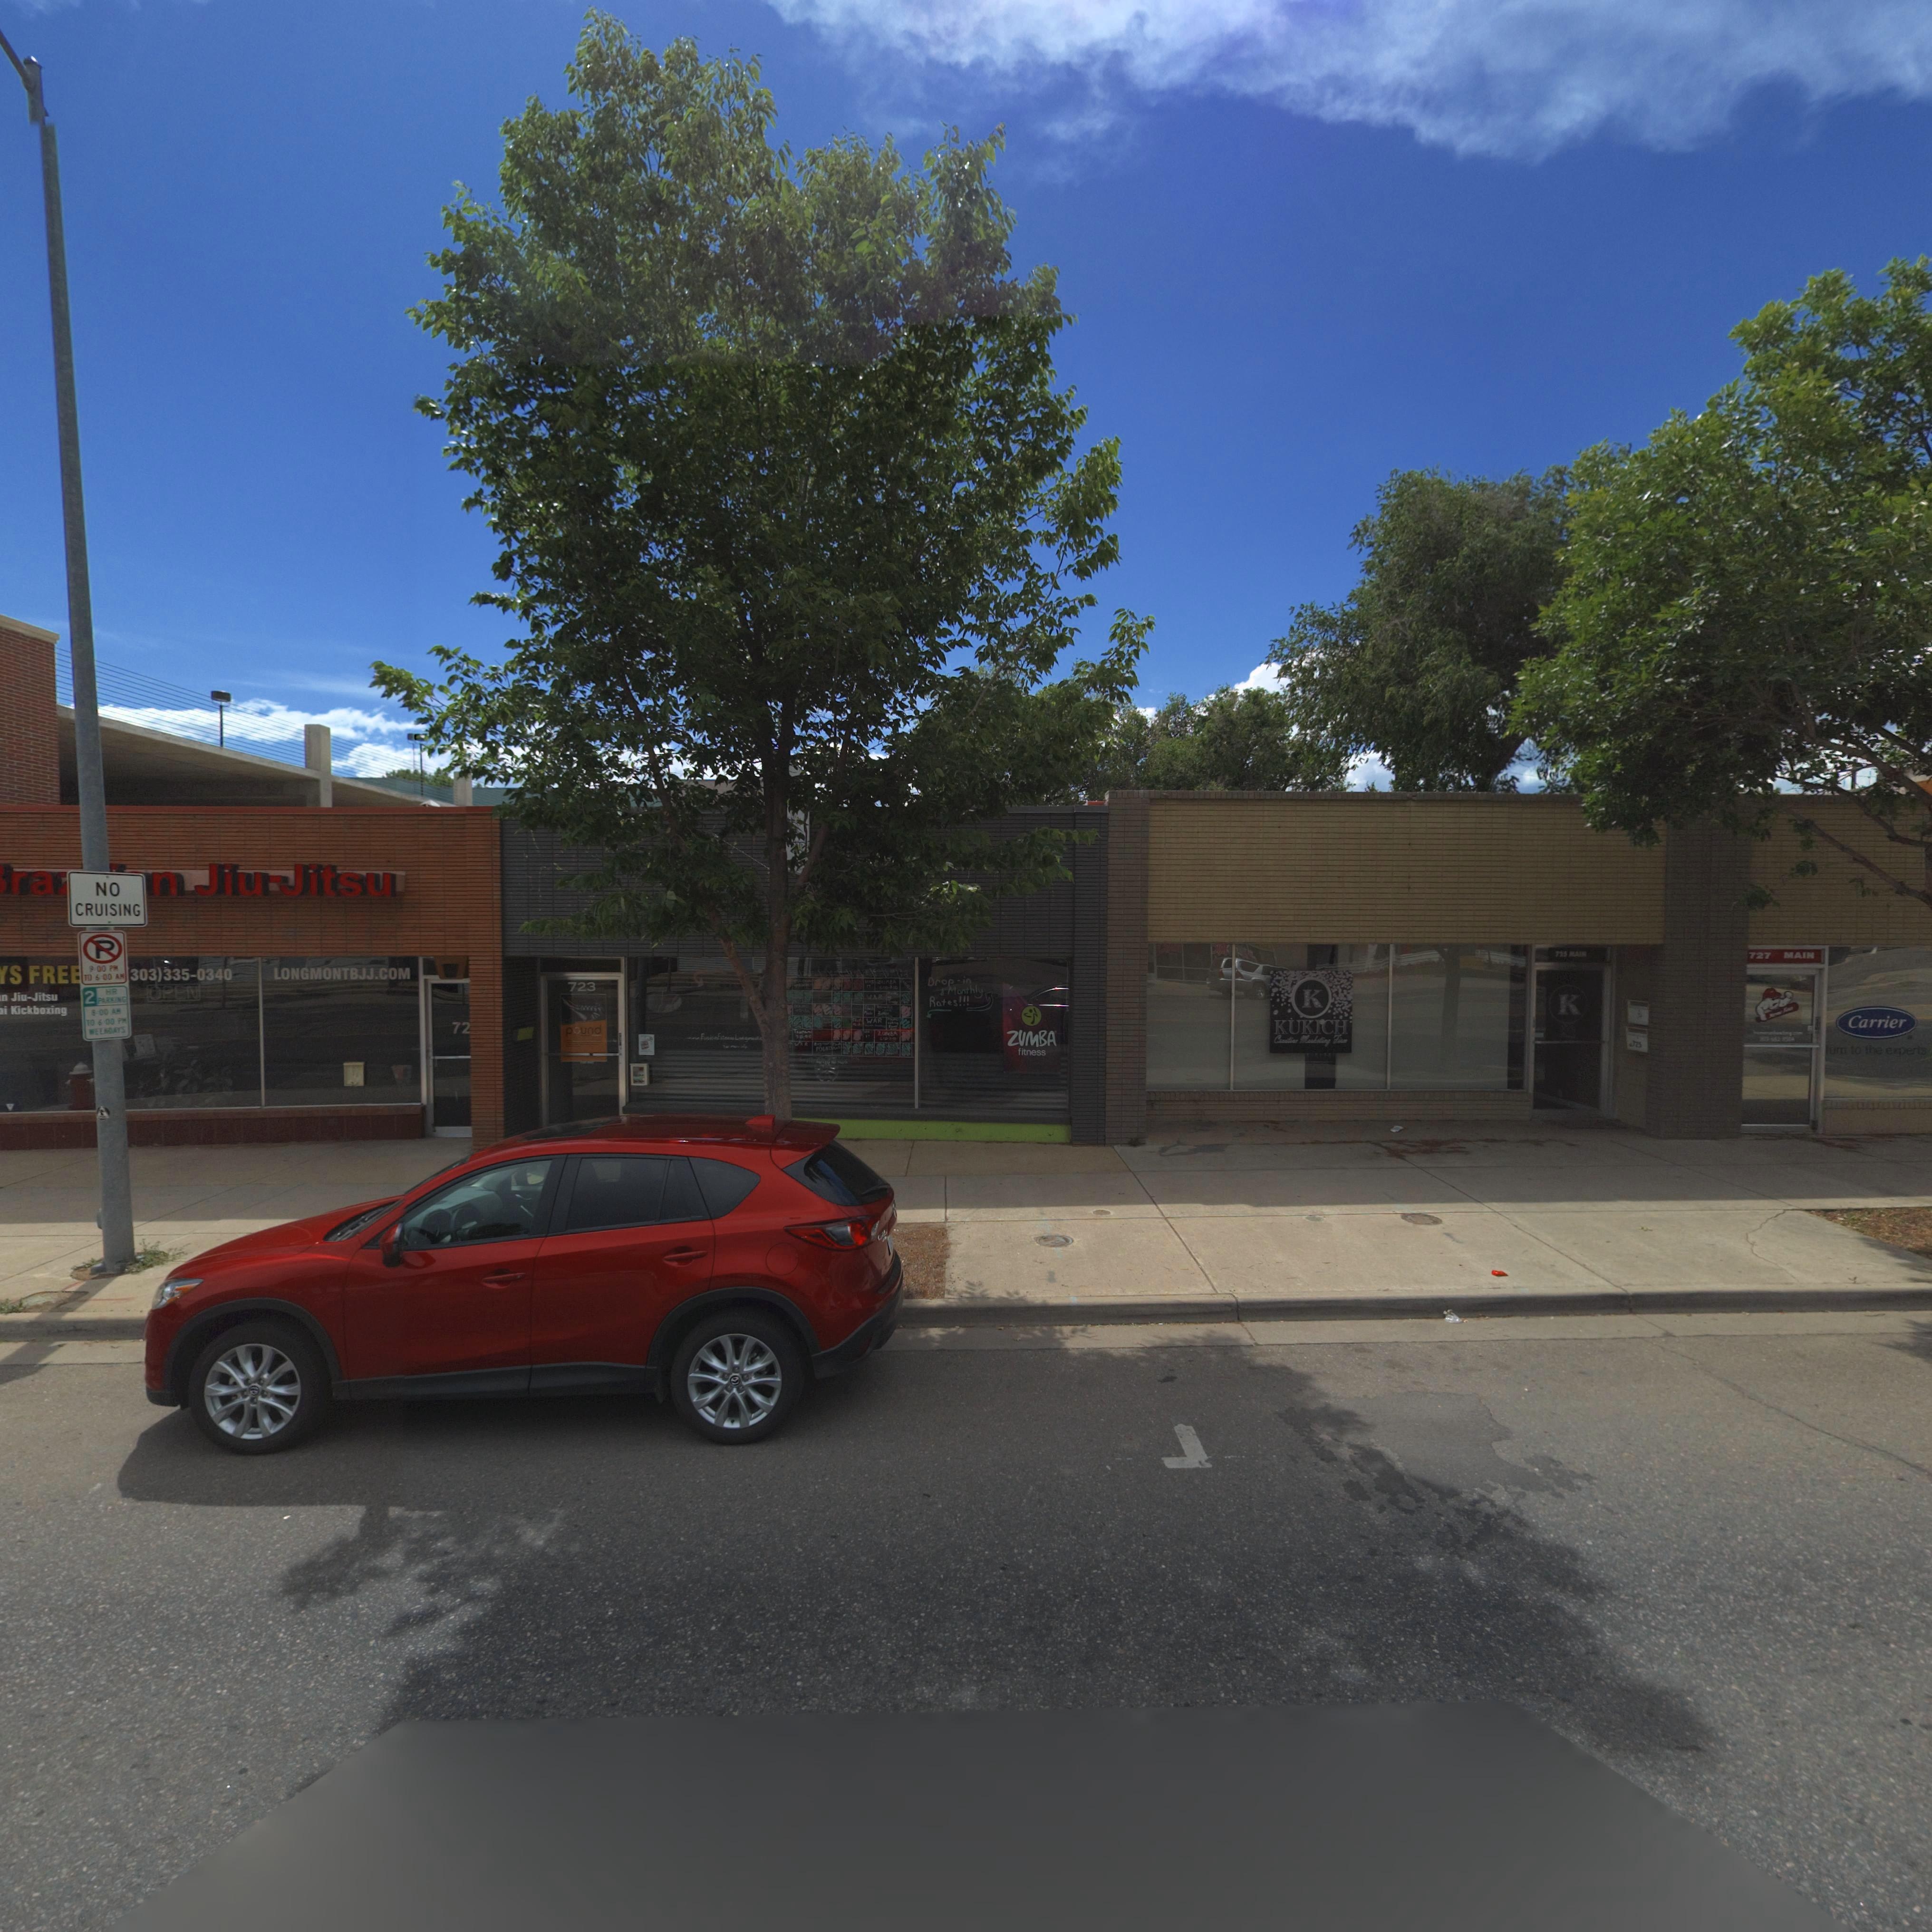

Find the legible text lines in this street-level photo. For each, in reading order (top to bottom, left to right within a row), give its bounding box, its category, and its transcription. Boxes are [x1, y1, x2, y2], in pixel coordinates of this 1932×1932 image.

[10, 861, 391, 897] BusinessName: ra***n Jiu-Jitsu
[1555, 950, 1567, 957] StreetNumber: 725
[1748, 951, 1772, 959] StreetNumber: 727
[1783, 951, 1815, 959] StreetName: MAIN
[567, 981, 597, 992] StreetNumber: 723
[1768, 1005, 1794, 1019] BusinessName: Home Run
[1273, 1019, 1348, 1035] BusinessName: KUKICH
[1632, 1040, 1643, 1049] StreetNumber: 725